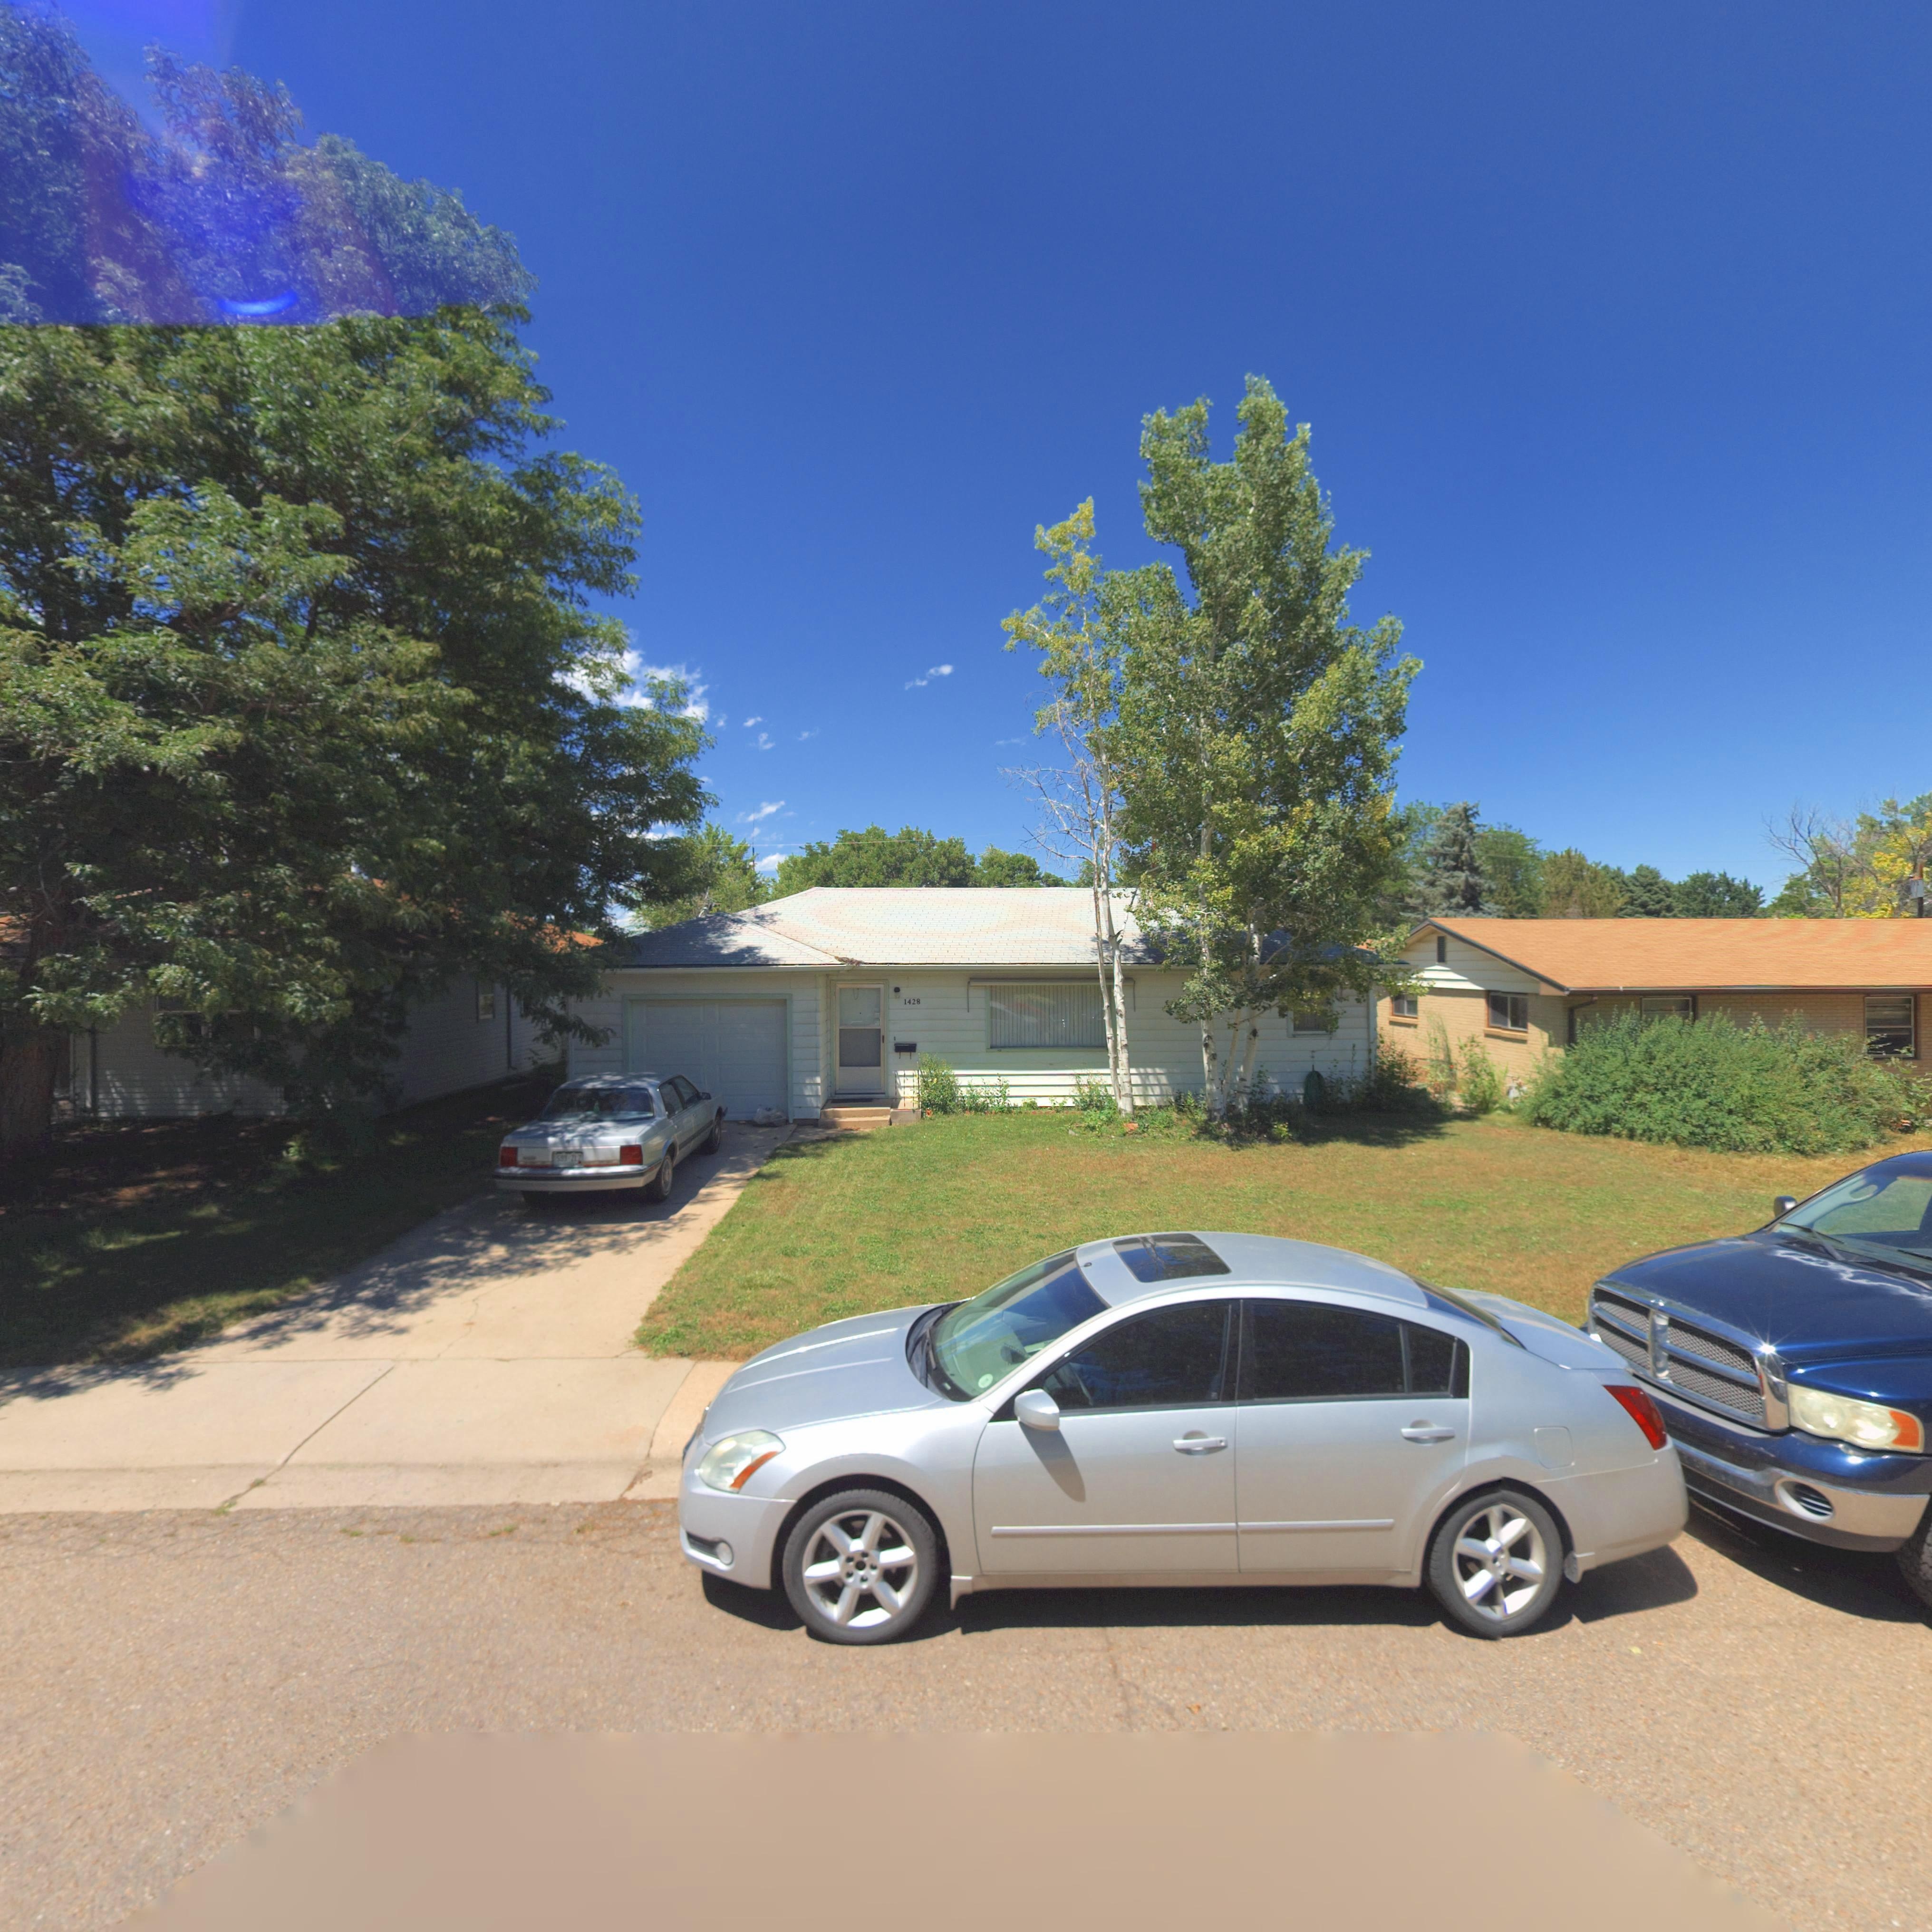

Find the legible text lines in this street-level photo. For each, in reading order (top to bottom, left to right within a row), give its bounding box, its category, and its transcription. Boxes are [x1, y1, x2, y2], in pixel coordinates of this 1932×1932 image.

[903, 998, 920, 1005] StreetNumber: 1428